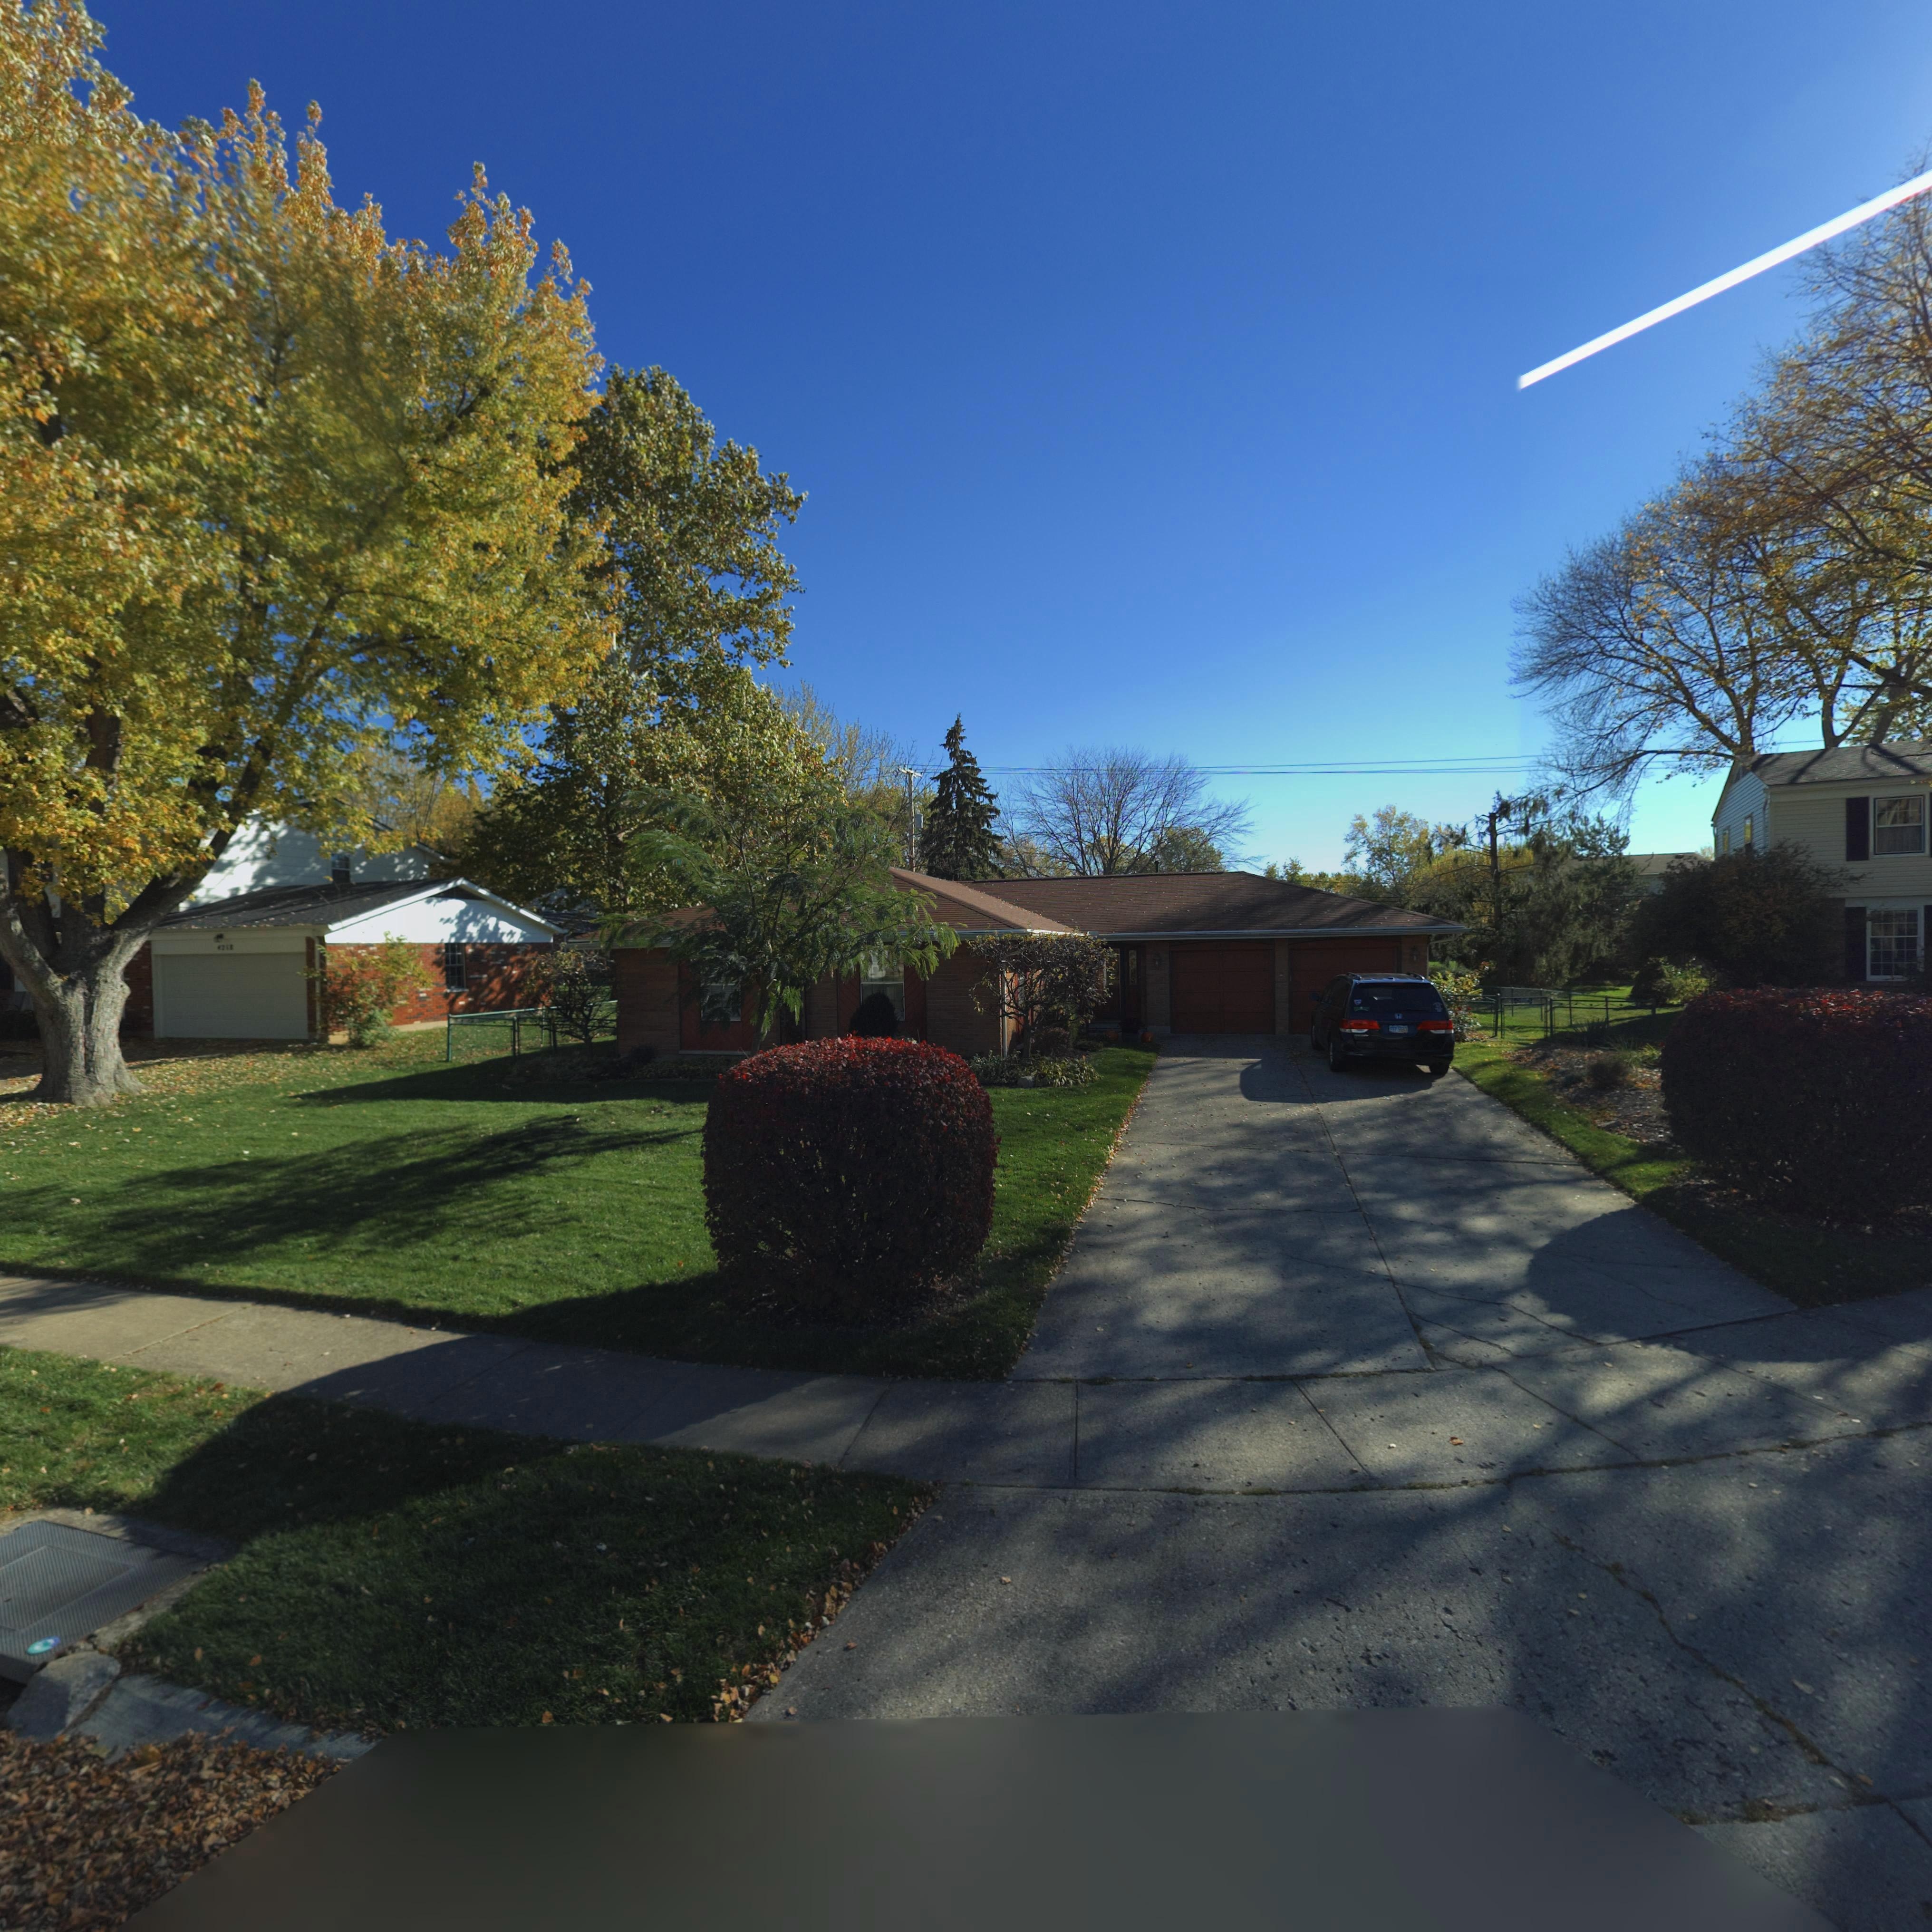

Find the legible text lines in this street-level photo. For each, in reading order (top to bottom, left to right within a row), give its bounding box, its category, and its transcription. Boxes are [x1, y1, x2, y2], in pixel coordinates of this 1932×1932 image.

[216, 943, 235, 952] StreetNumber: *21*
[1390, 1026, 1408, 1032] None: FEP*55**